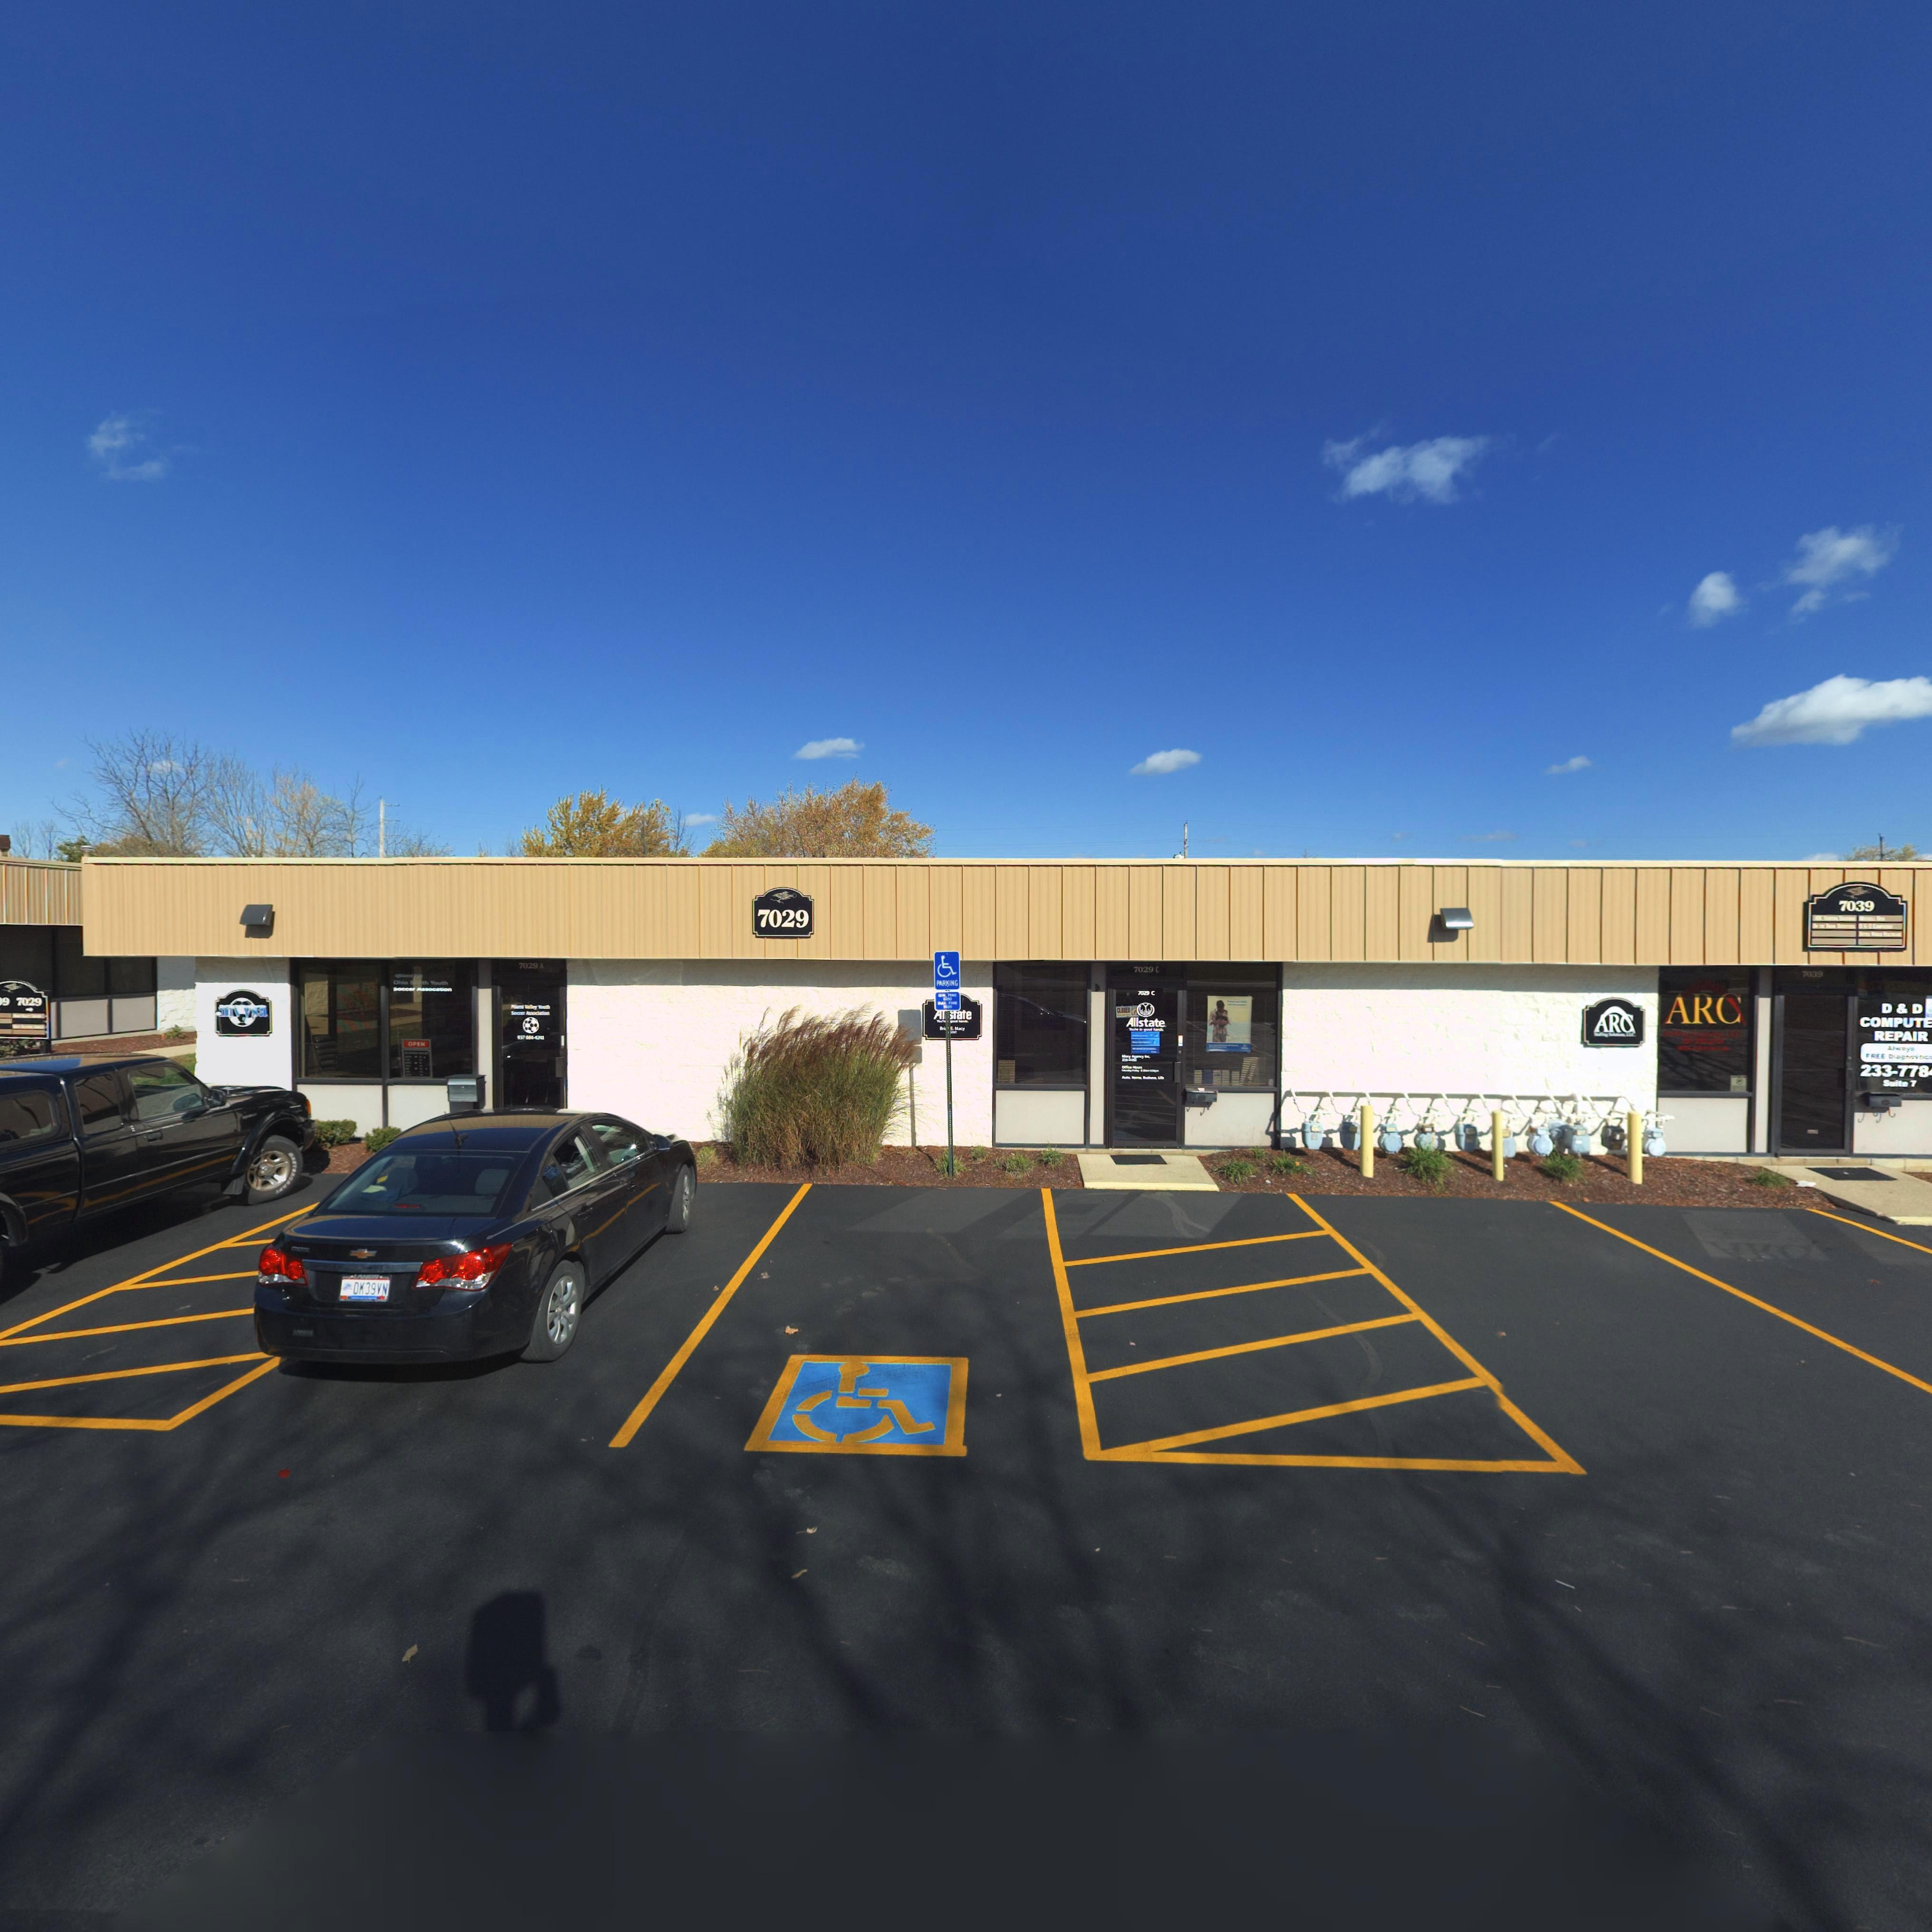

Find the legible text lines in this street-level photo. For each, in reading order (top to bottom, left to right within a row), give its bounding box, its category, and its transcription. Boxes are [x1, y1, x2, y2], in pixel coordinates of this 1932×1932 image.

[1837, 899, 1876, 913] StreetNumber: 7039
[756, 908, 811, 930] StreetNumber: 7029
[517, 961, 546, 970] StreetNumber: 7029 A
[1132, 965, 1160, 974] StreetNumber: 7029 C
[1801, 969, 1825, 979] StreetNumber: 7039
[1135, 989, 1156, 997] StreetNumber: 7029 C
[1, 995, 12, 1007] StreetNumber: 9
[14, 996, 44, 1007] StreetNumber: 7029